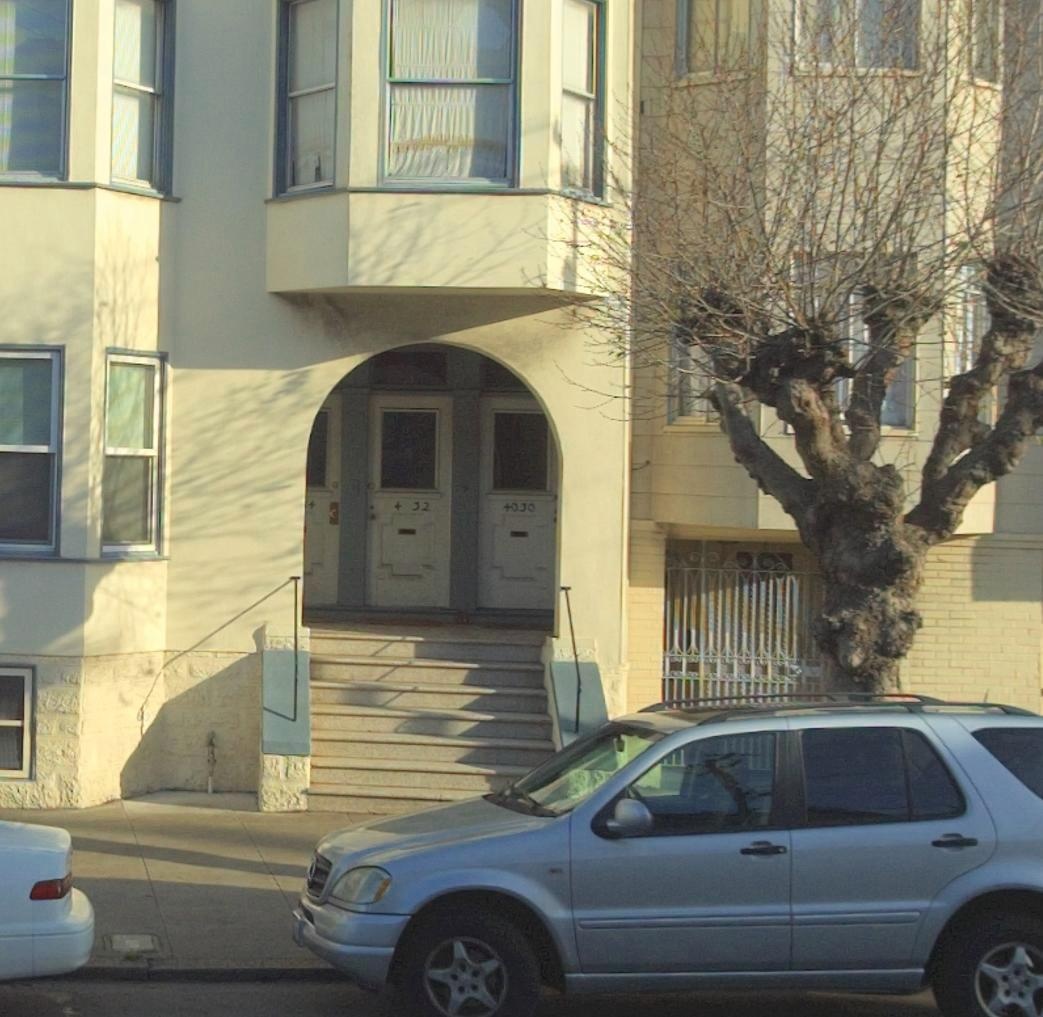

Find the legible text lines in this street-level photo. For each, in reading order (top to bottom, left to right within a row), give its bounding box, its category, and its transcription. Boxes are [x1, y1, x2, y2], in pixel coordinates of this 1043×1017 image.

[306, 499, 317, 510] StreetNumber: 4
[391, 499, 431, 513] StreetNumber: 4 32
[501, 500, 538, 515] StreetNumber: 4030